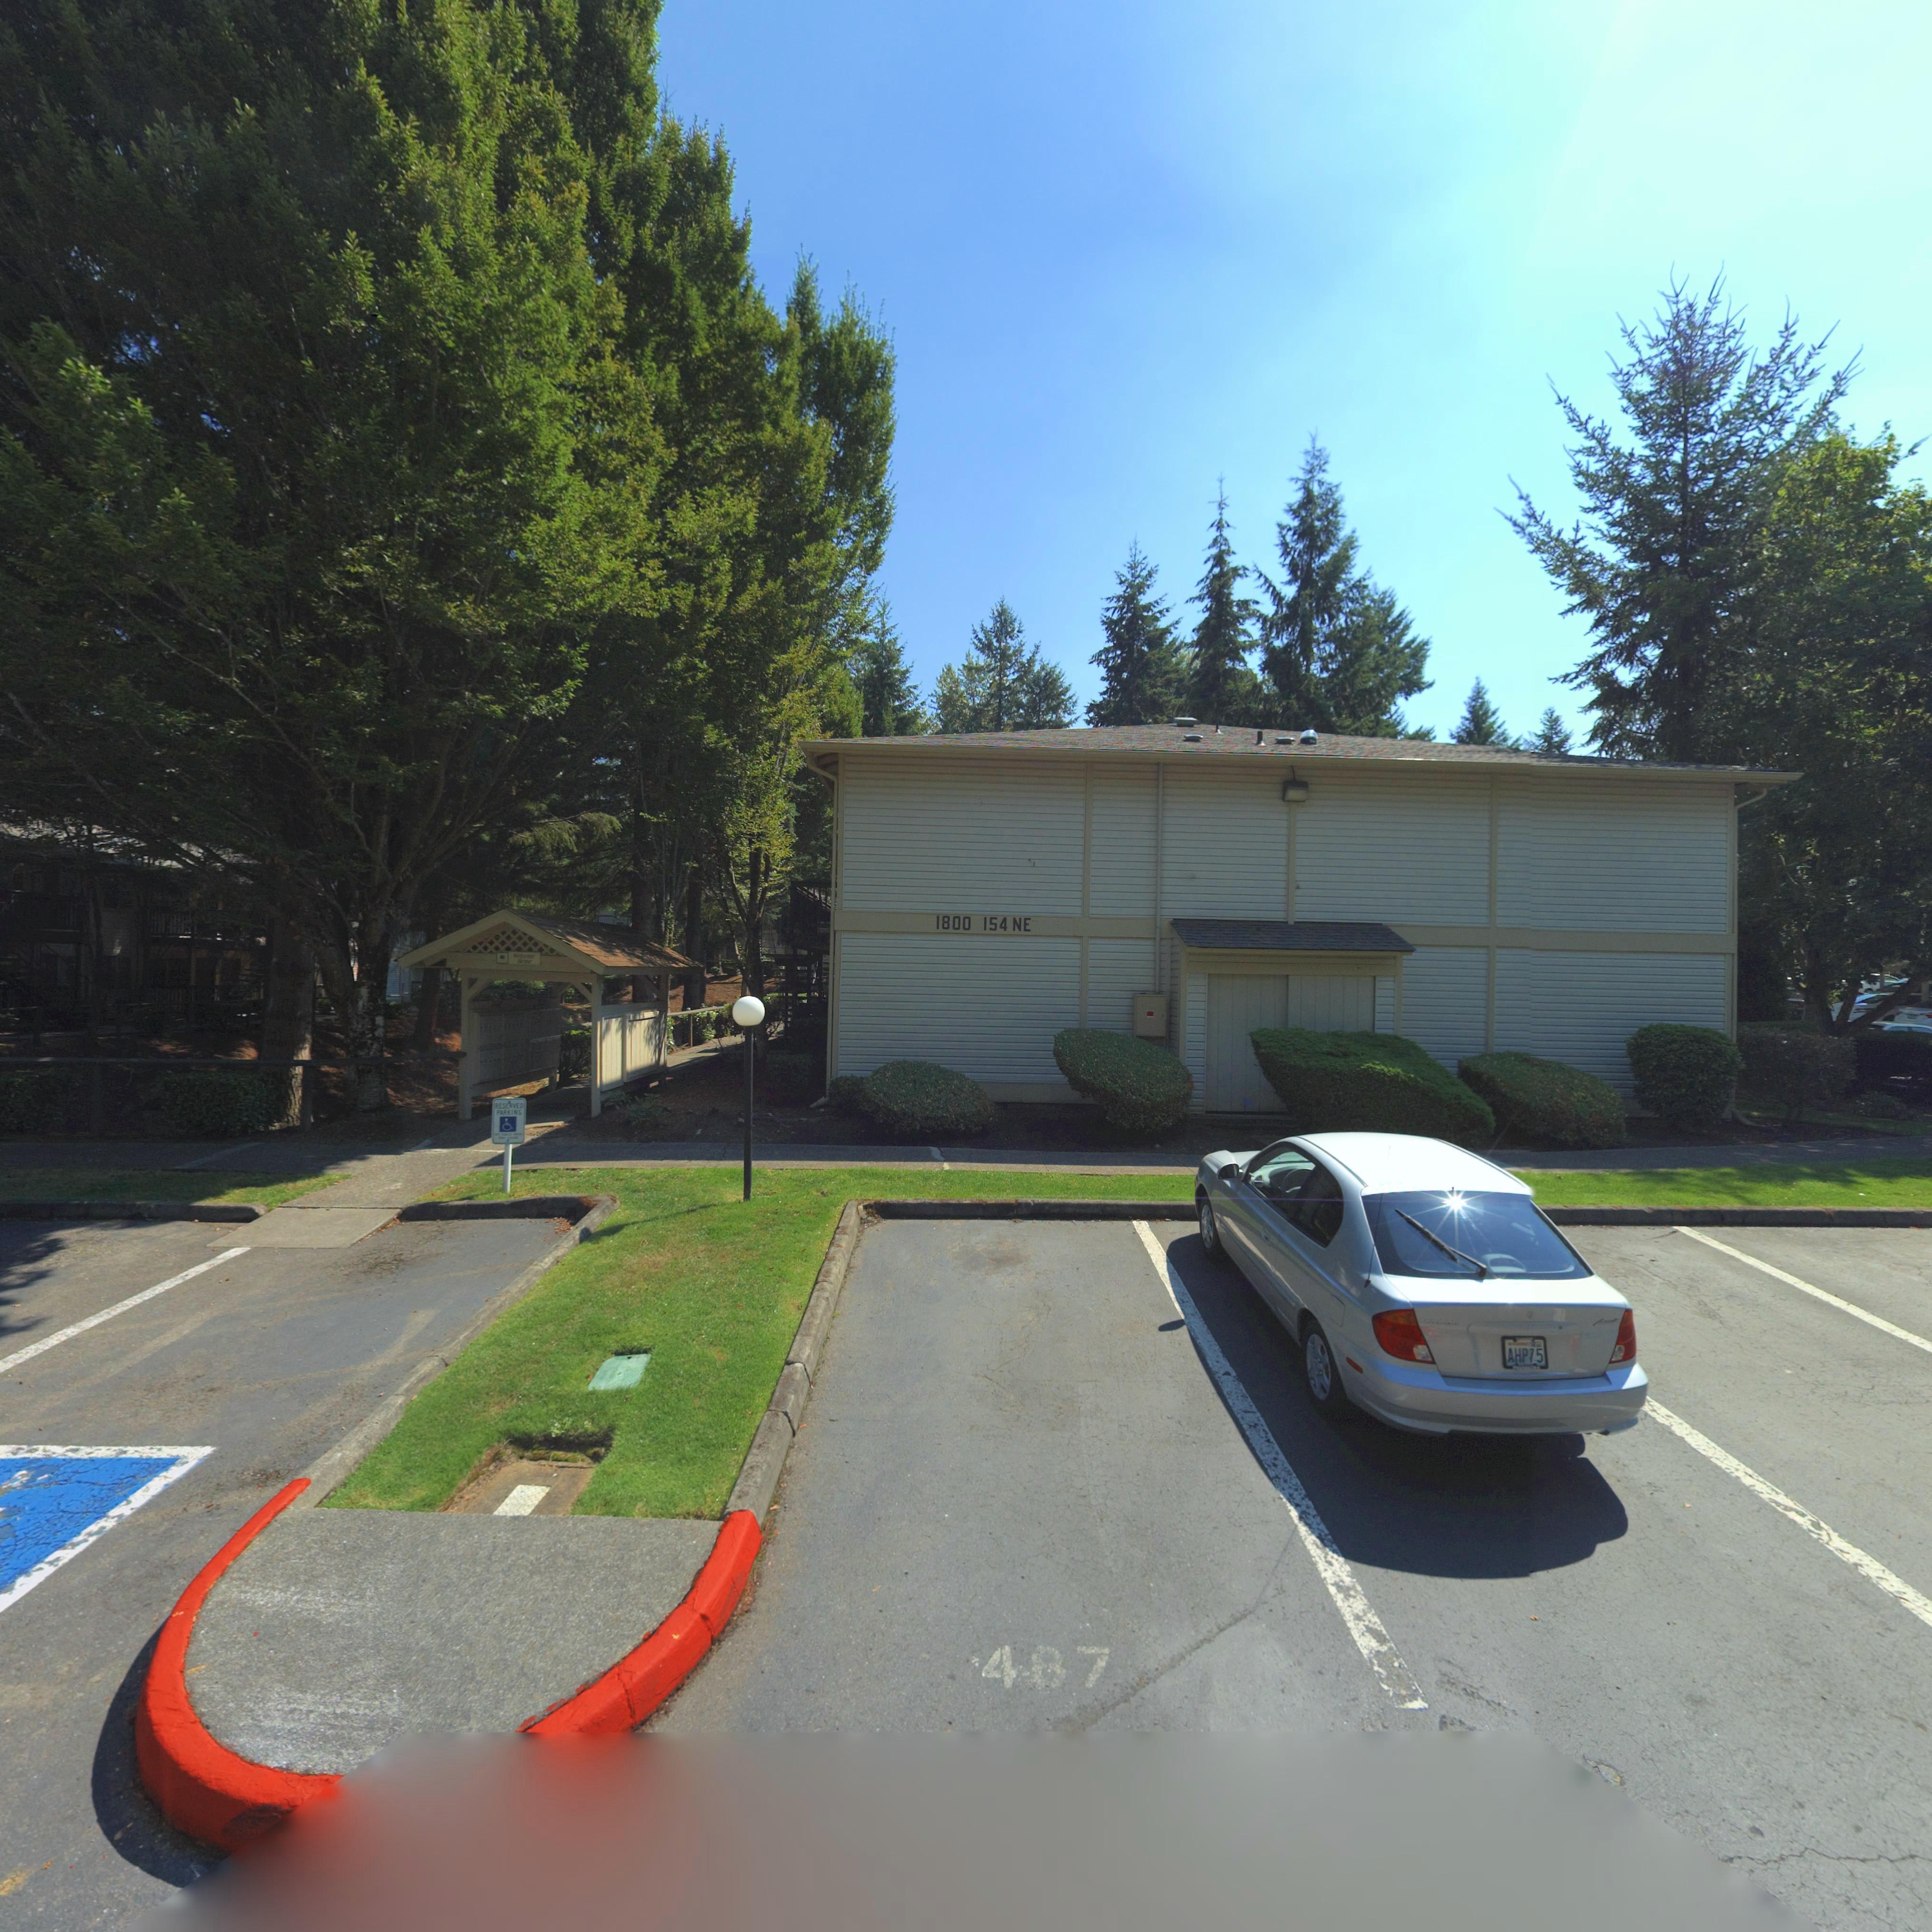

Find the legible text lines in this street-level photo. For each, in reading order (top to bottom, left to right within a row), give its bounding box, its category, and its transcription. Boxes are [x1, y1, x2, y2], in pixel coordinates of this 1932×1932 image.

[935, 913, 1032, 932] StreetNumber: 1800 154 NE